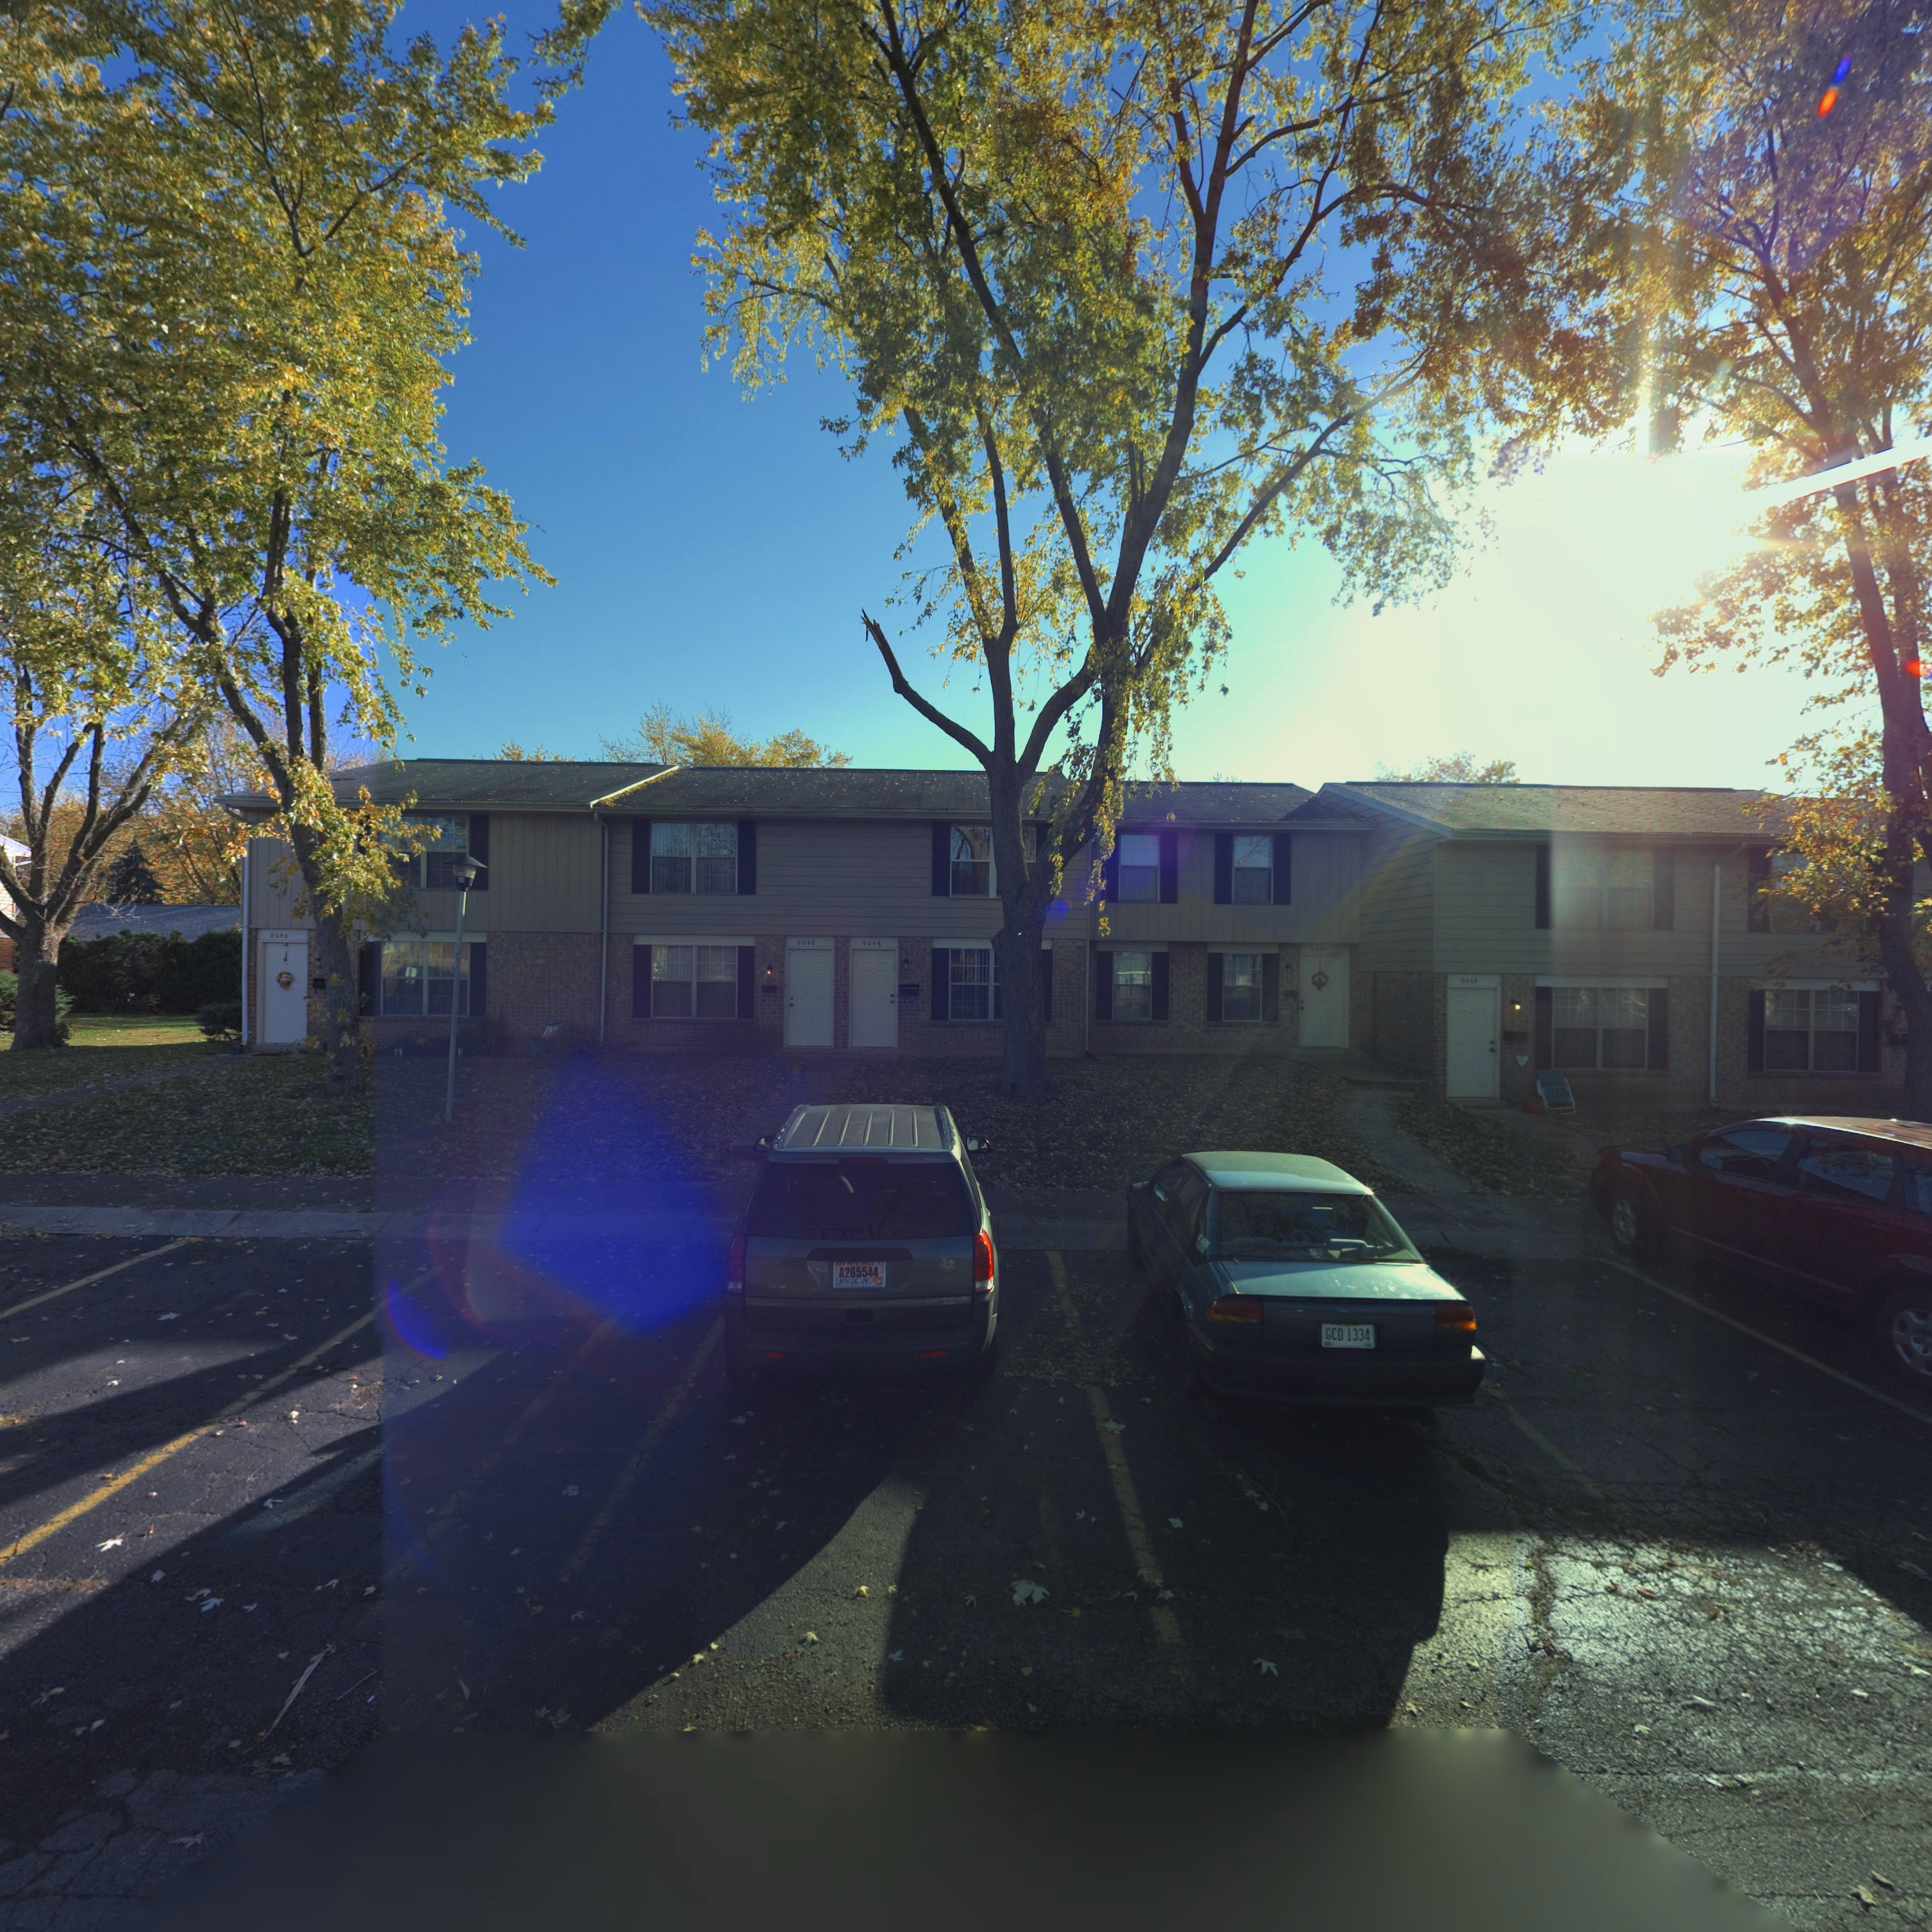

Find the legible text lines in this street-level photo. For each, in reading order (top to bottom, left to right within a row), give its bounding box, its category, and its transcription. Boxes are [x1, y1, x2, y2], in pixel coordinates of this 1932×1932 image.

[270, 932, 288, 939] StreetNumber: 8050
[797, 939, 816, 945] StreetNumber: 8048
[862, 940, 881, 946] StreetNumber: 8046
[1310, 947, 1328, 953] StreetNumber: 8044
[1459, 977, 1478, 984] StreetNumber: 8042